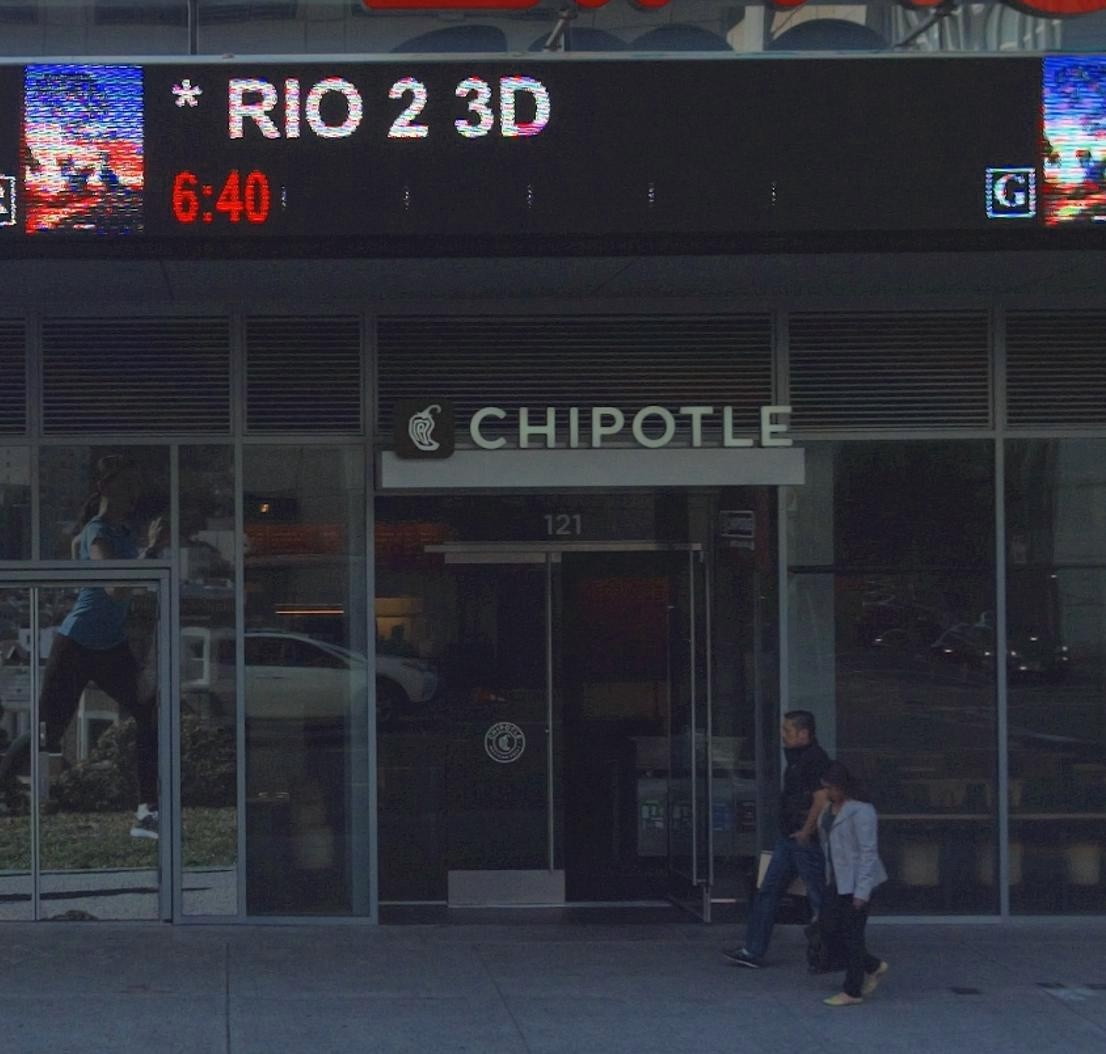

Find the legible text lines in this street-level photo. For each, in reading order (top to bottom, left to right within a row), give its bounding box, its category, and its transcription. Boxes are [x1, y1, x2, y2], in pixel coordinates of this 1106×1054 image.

[227, 73, 553, 142] None: RIO 2 3D
[171, 168, 272, 225] None: 6:40
[992, 172, 1027, 210] None: G
[467, 404, 796, 451] BusinessName: CHIPOTLE
[541, 513, 583, 536] StreetNumber: 121